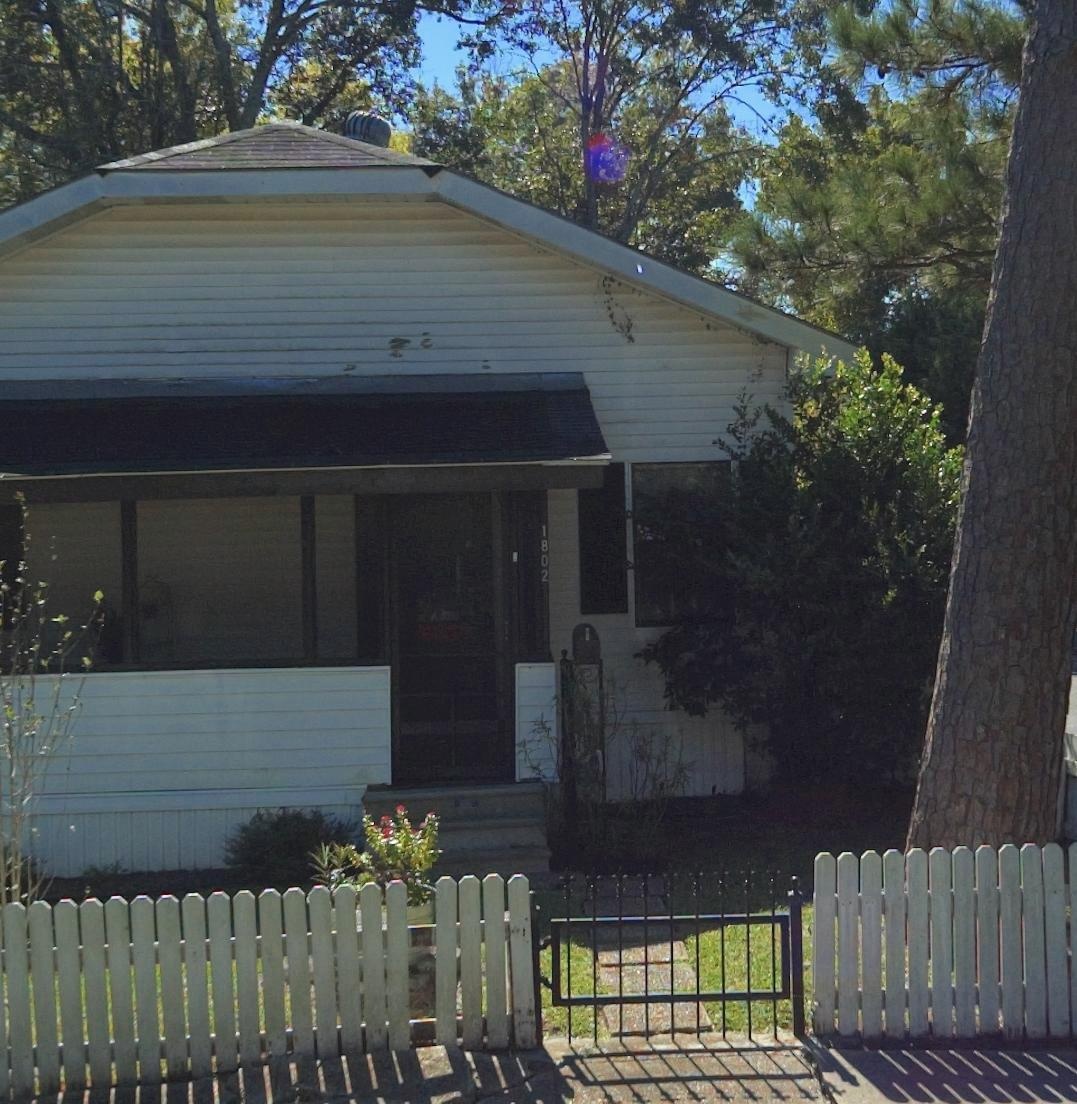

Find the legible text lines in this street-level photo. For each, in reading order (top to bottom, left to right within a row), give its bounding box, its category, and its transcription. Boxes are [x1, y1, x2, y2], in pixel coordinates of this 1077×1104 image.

[538, 521, 551, 584] StreetNumber: 1802